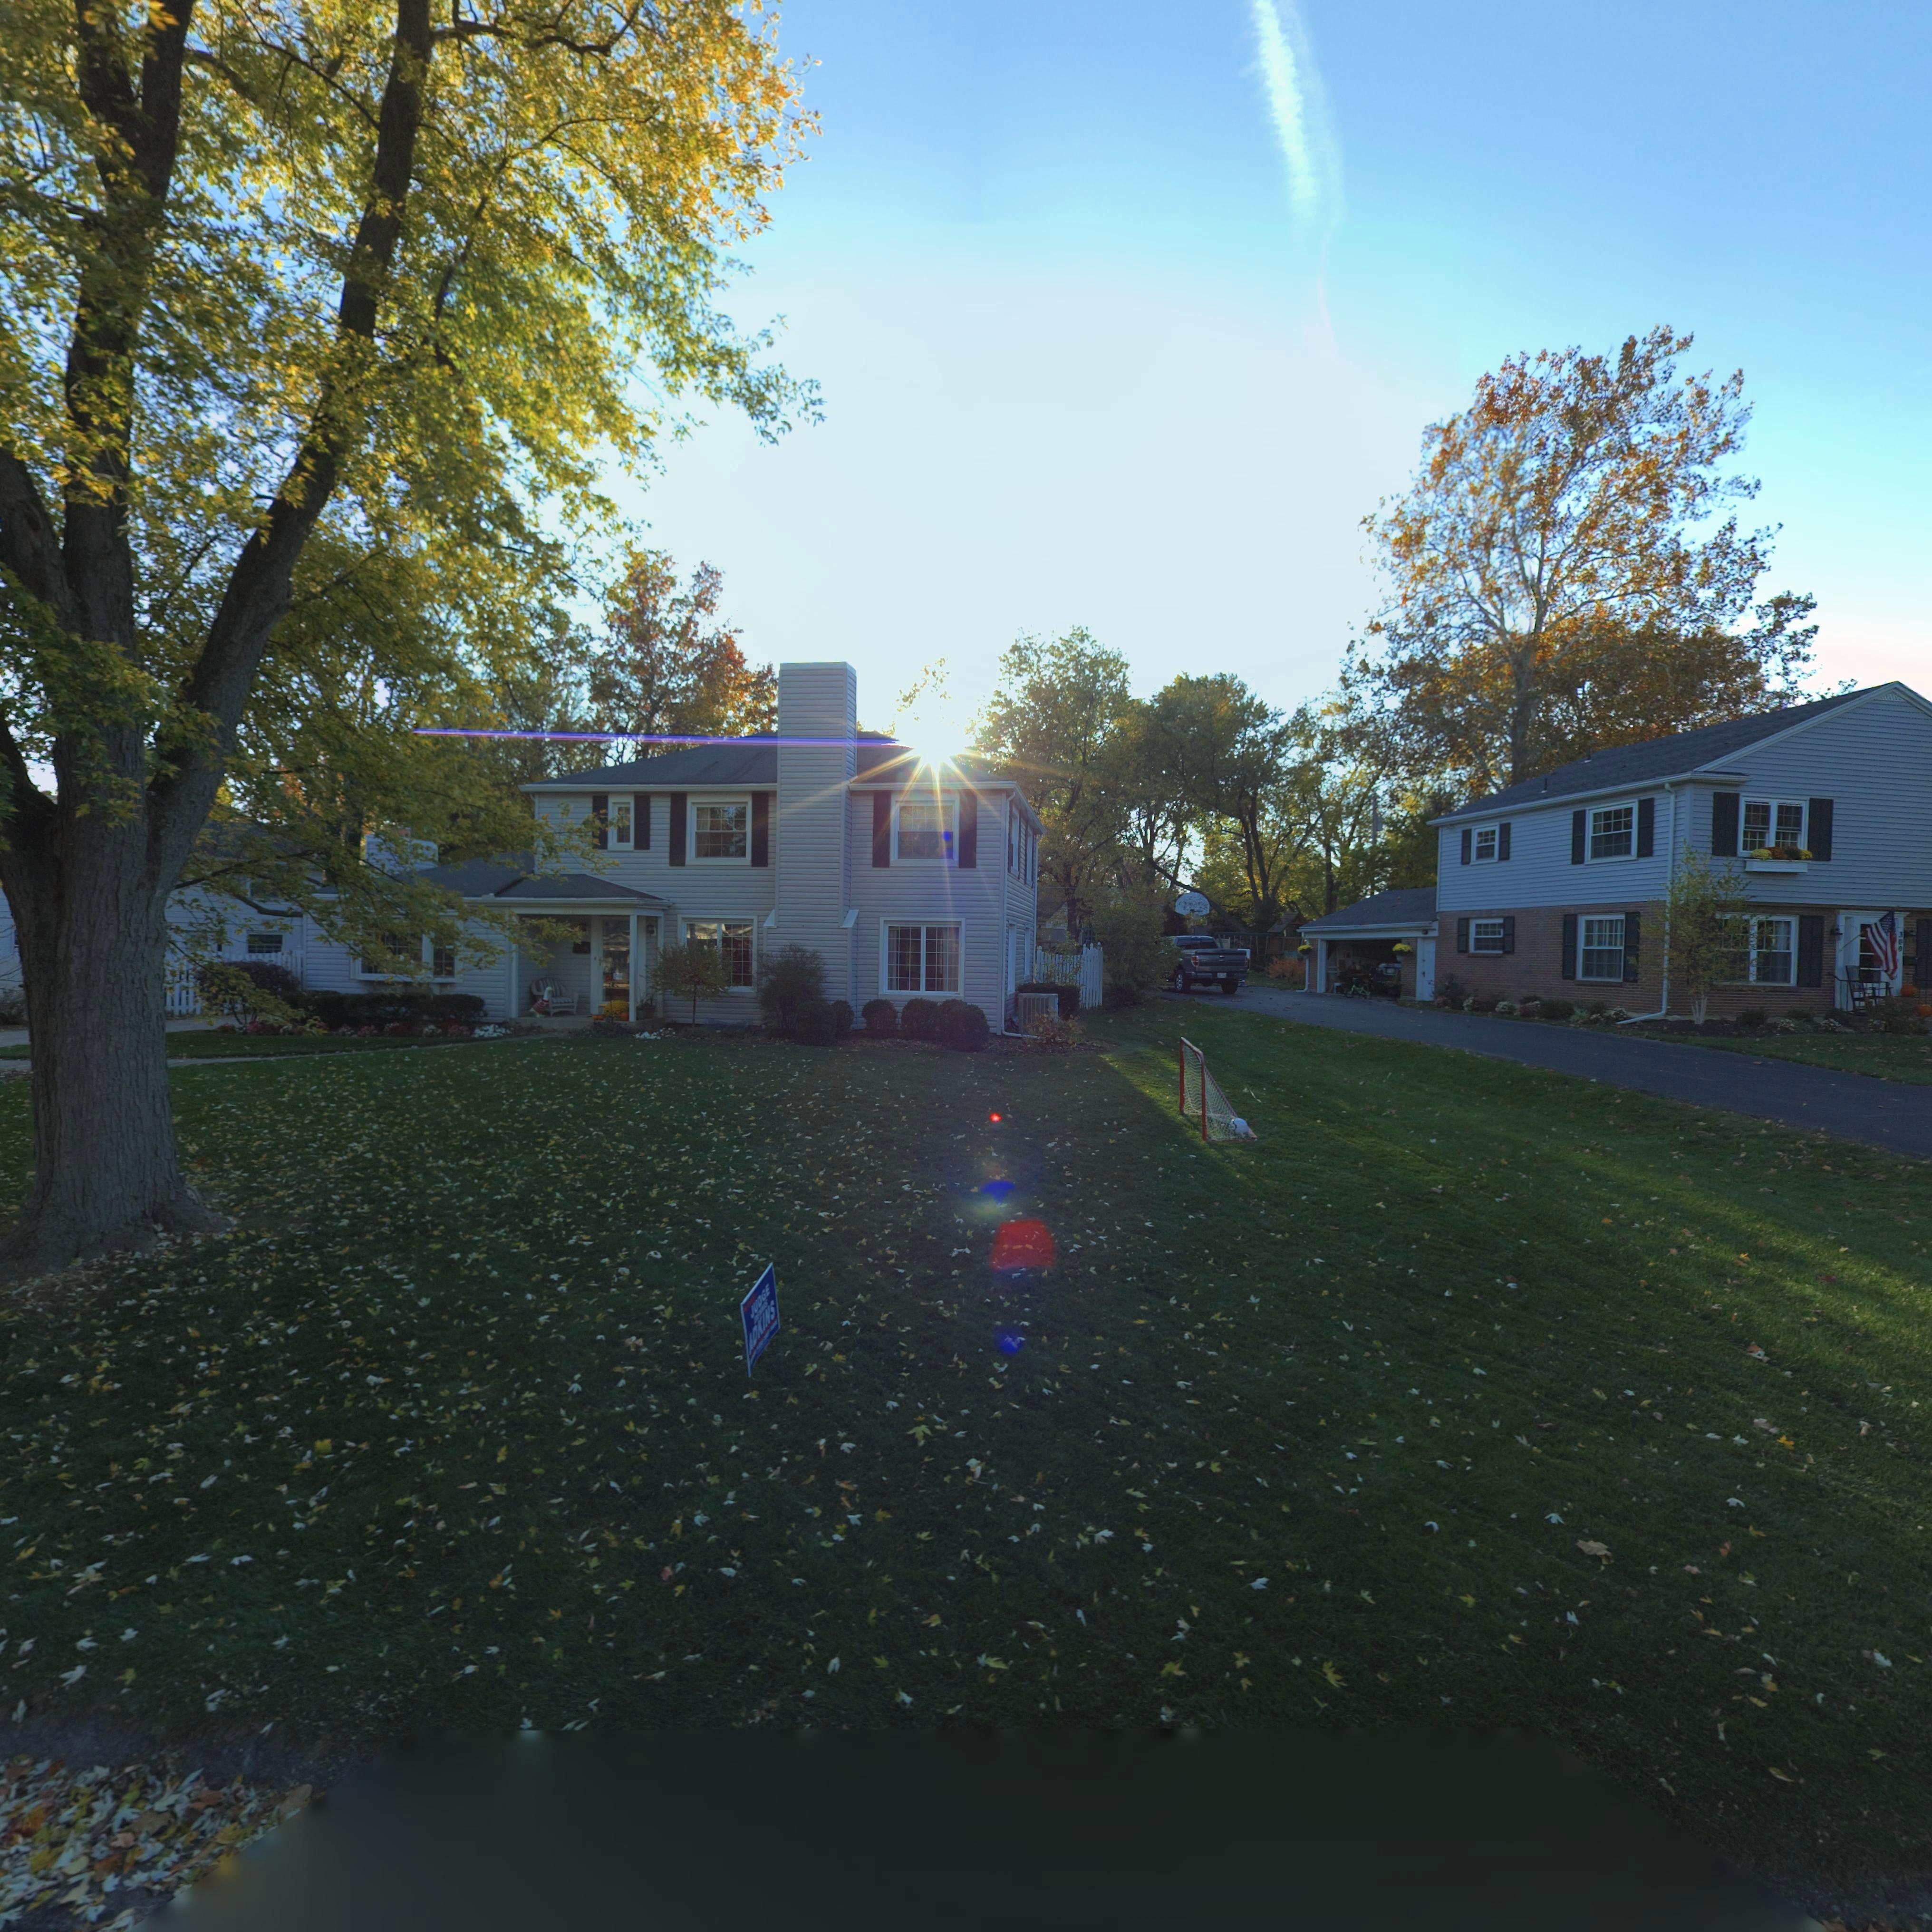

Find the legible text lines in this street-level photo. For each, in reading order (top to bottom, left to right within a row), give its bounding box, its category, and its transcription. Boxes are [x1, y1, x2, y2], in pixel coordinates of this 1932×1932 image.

[1897, 930, 1903, 953] StreetNumber: *00